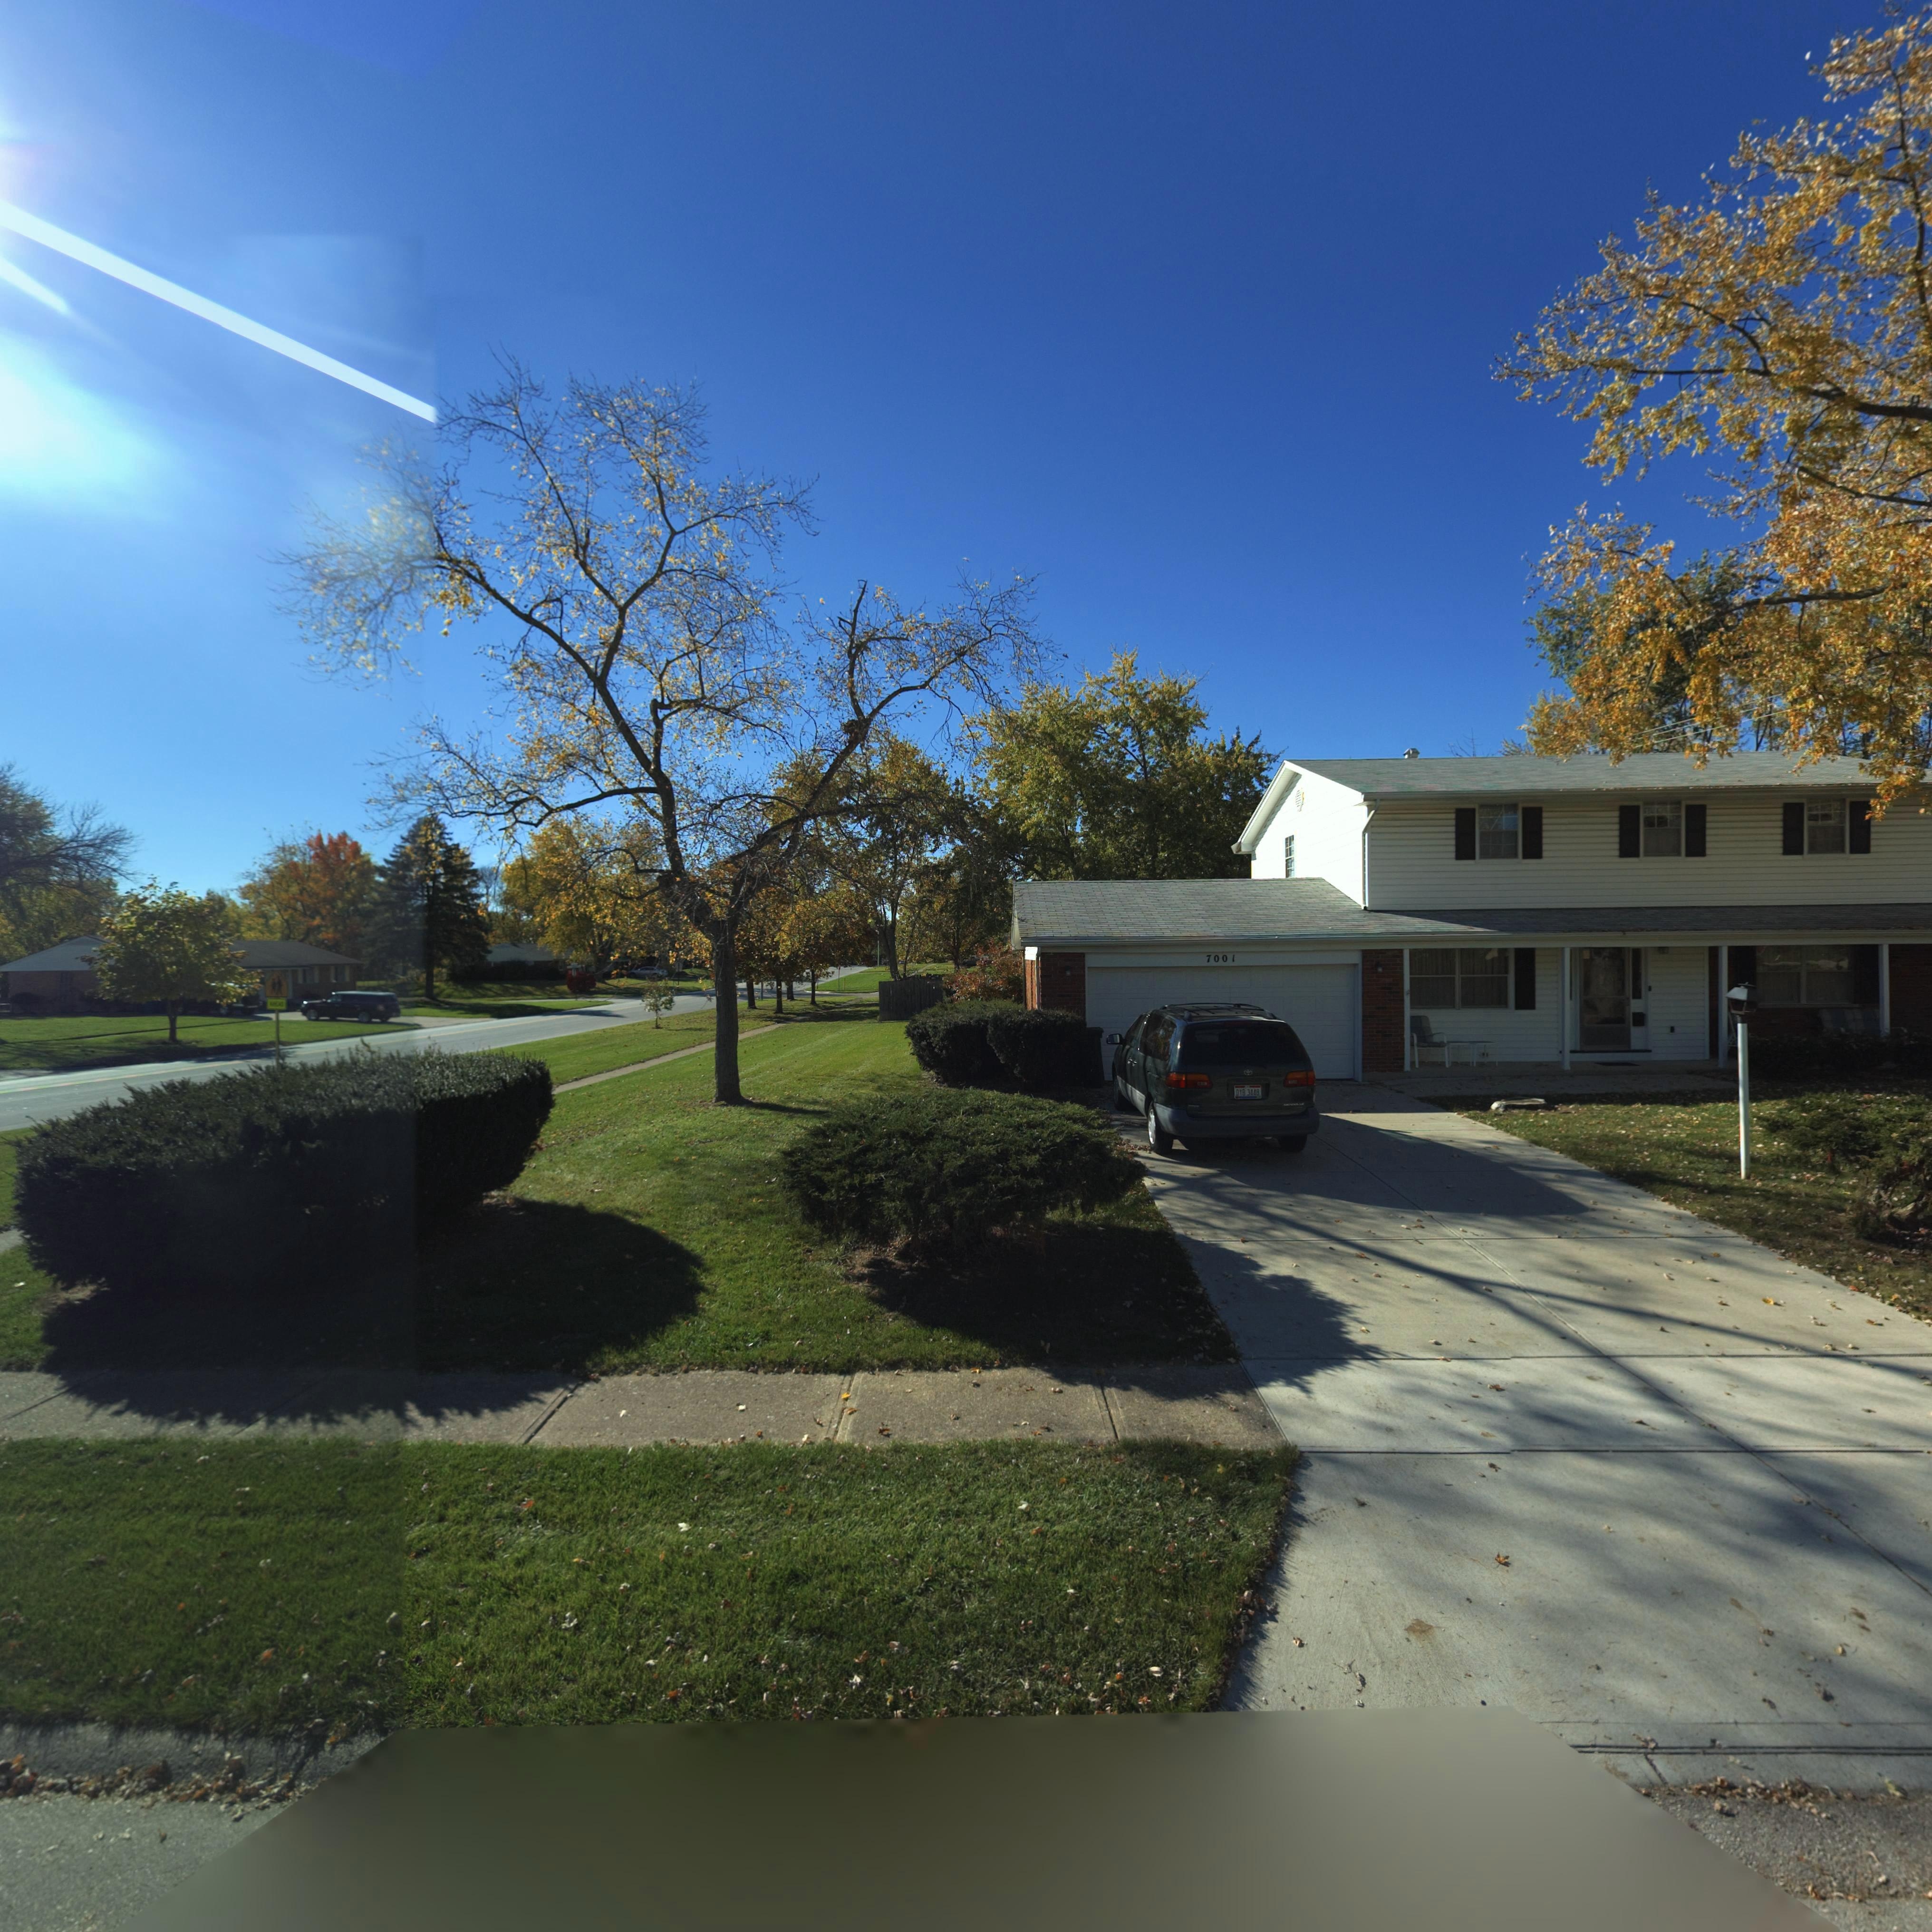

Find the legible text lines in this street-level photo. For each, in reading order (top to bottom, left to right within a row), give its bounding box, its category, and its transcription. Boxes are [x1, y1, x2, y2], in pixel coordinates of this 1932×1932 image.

[1205, 953, 1236, 964] StreetNumber: 7001
[1235, 1088, 1260, 1097] None: DYB*3448